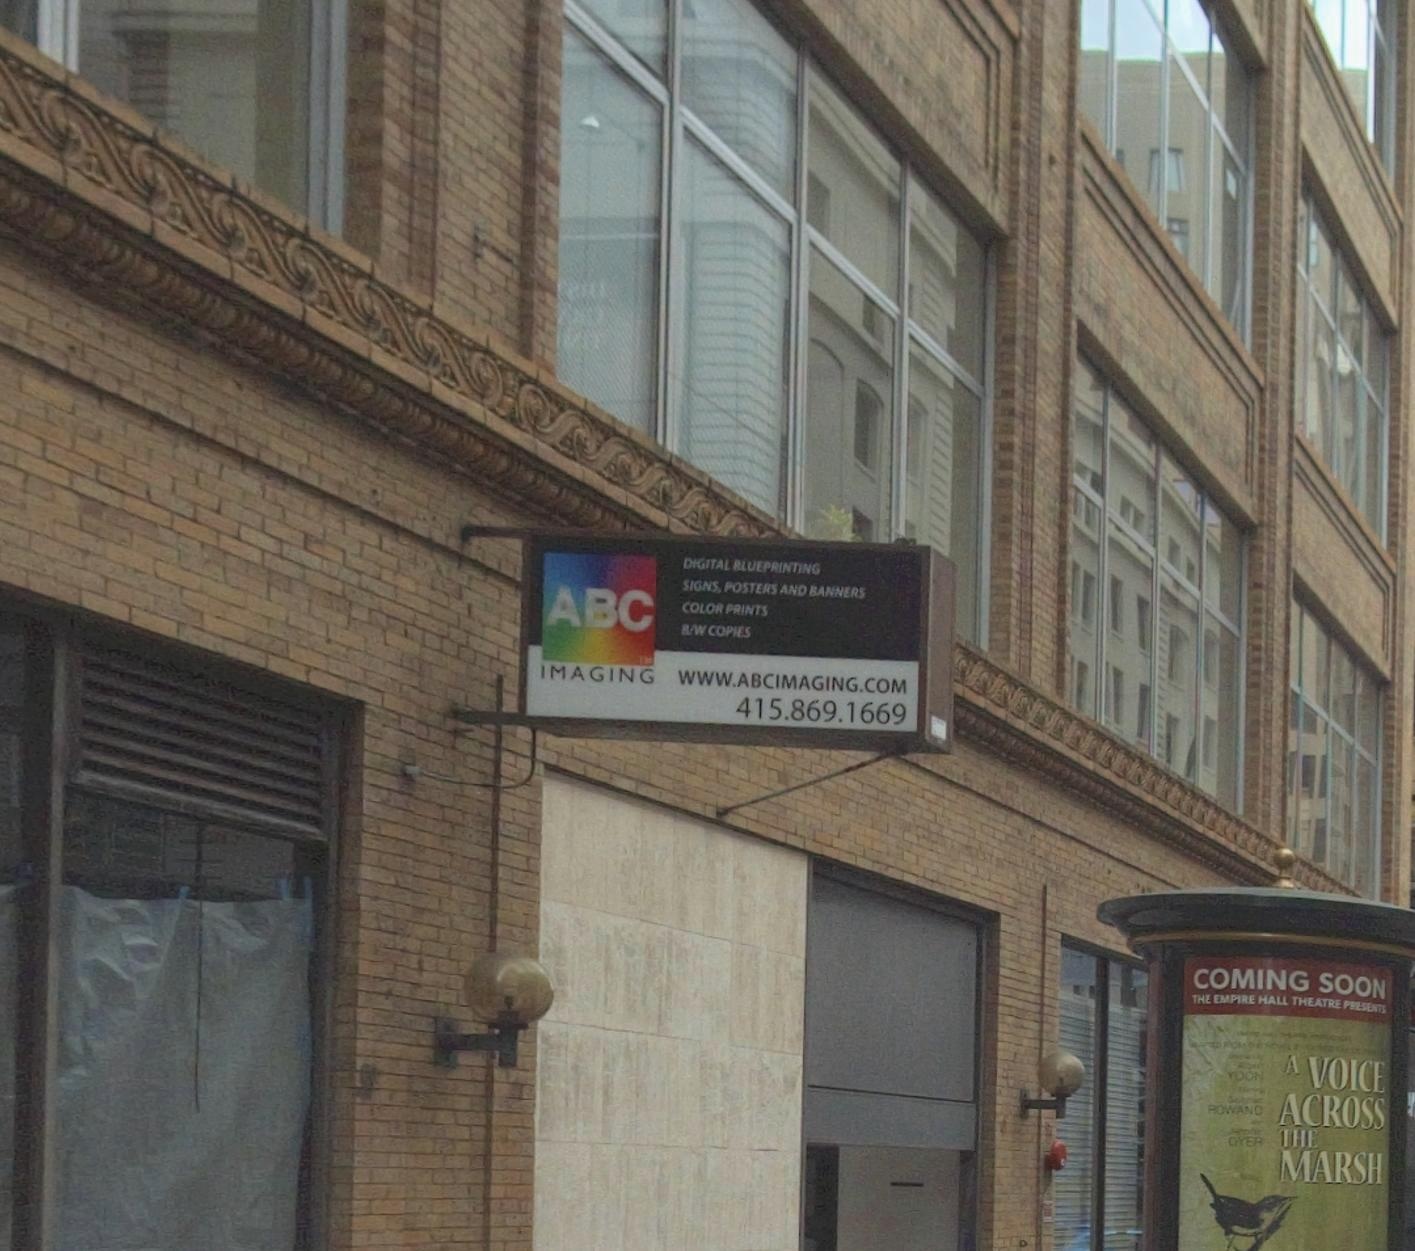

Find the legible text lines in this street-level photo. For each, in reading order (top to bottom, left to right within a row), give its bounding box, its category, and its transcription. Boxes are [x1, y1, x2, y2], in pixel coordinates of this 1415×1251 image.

[679, 553, 823, 578] None: DIGITAL BLUEPRINTING
[679, 575, 870, 603] None: SIGNS, POSTERS AND BANNERS
[539, 582, 658, 636] BusinessName: ABC
[680, 598, 770, 619] None: COLOR PRINTS
[678, 619, 755, 641] None: B/W COPIES
[538, 660, 659, 688] BusinessName: IMAGING
[673, 665, 911, 698] None: WWW.ABCIMAGING.COM
[733, 693, 910, 729] None: 415.869.1669
[1188, 963, 1389, 1003] None: COMING SOON
[1189, 992, 1389, 1017] None: THE EMPIRE HALL THEATRE PRESENTS
[1278, 1051, 1304, 1078] None: A
[1304, 1053, 1388, 1097] None: VOICE
[1272, 1088, 1390, 1133] None: ACROSS
[1277, 1126, 1321, 1150] None: THE
[1277, 1148, 1386, 1188] None: MARSH